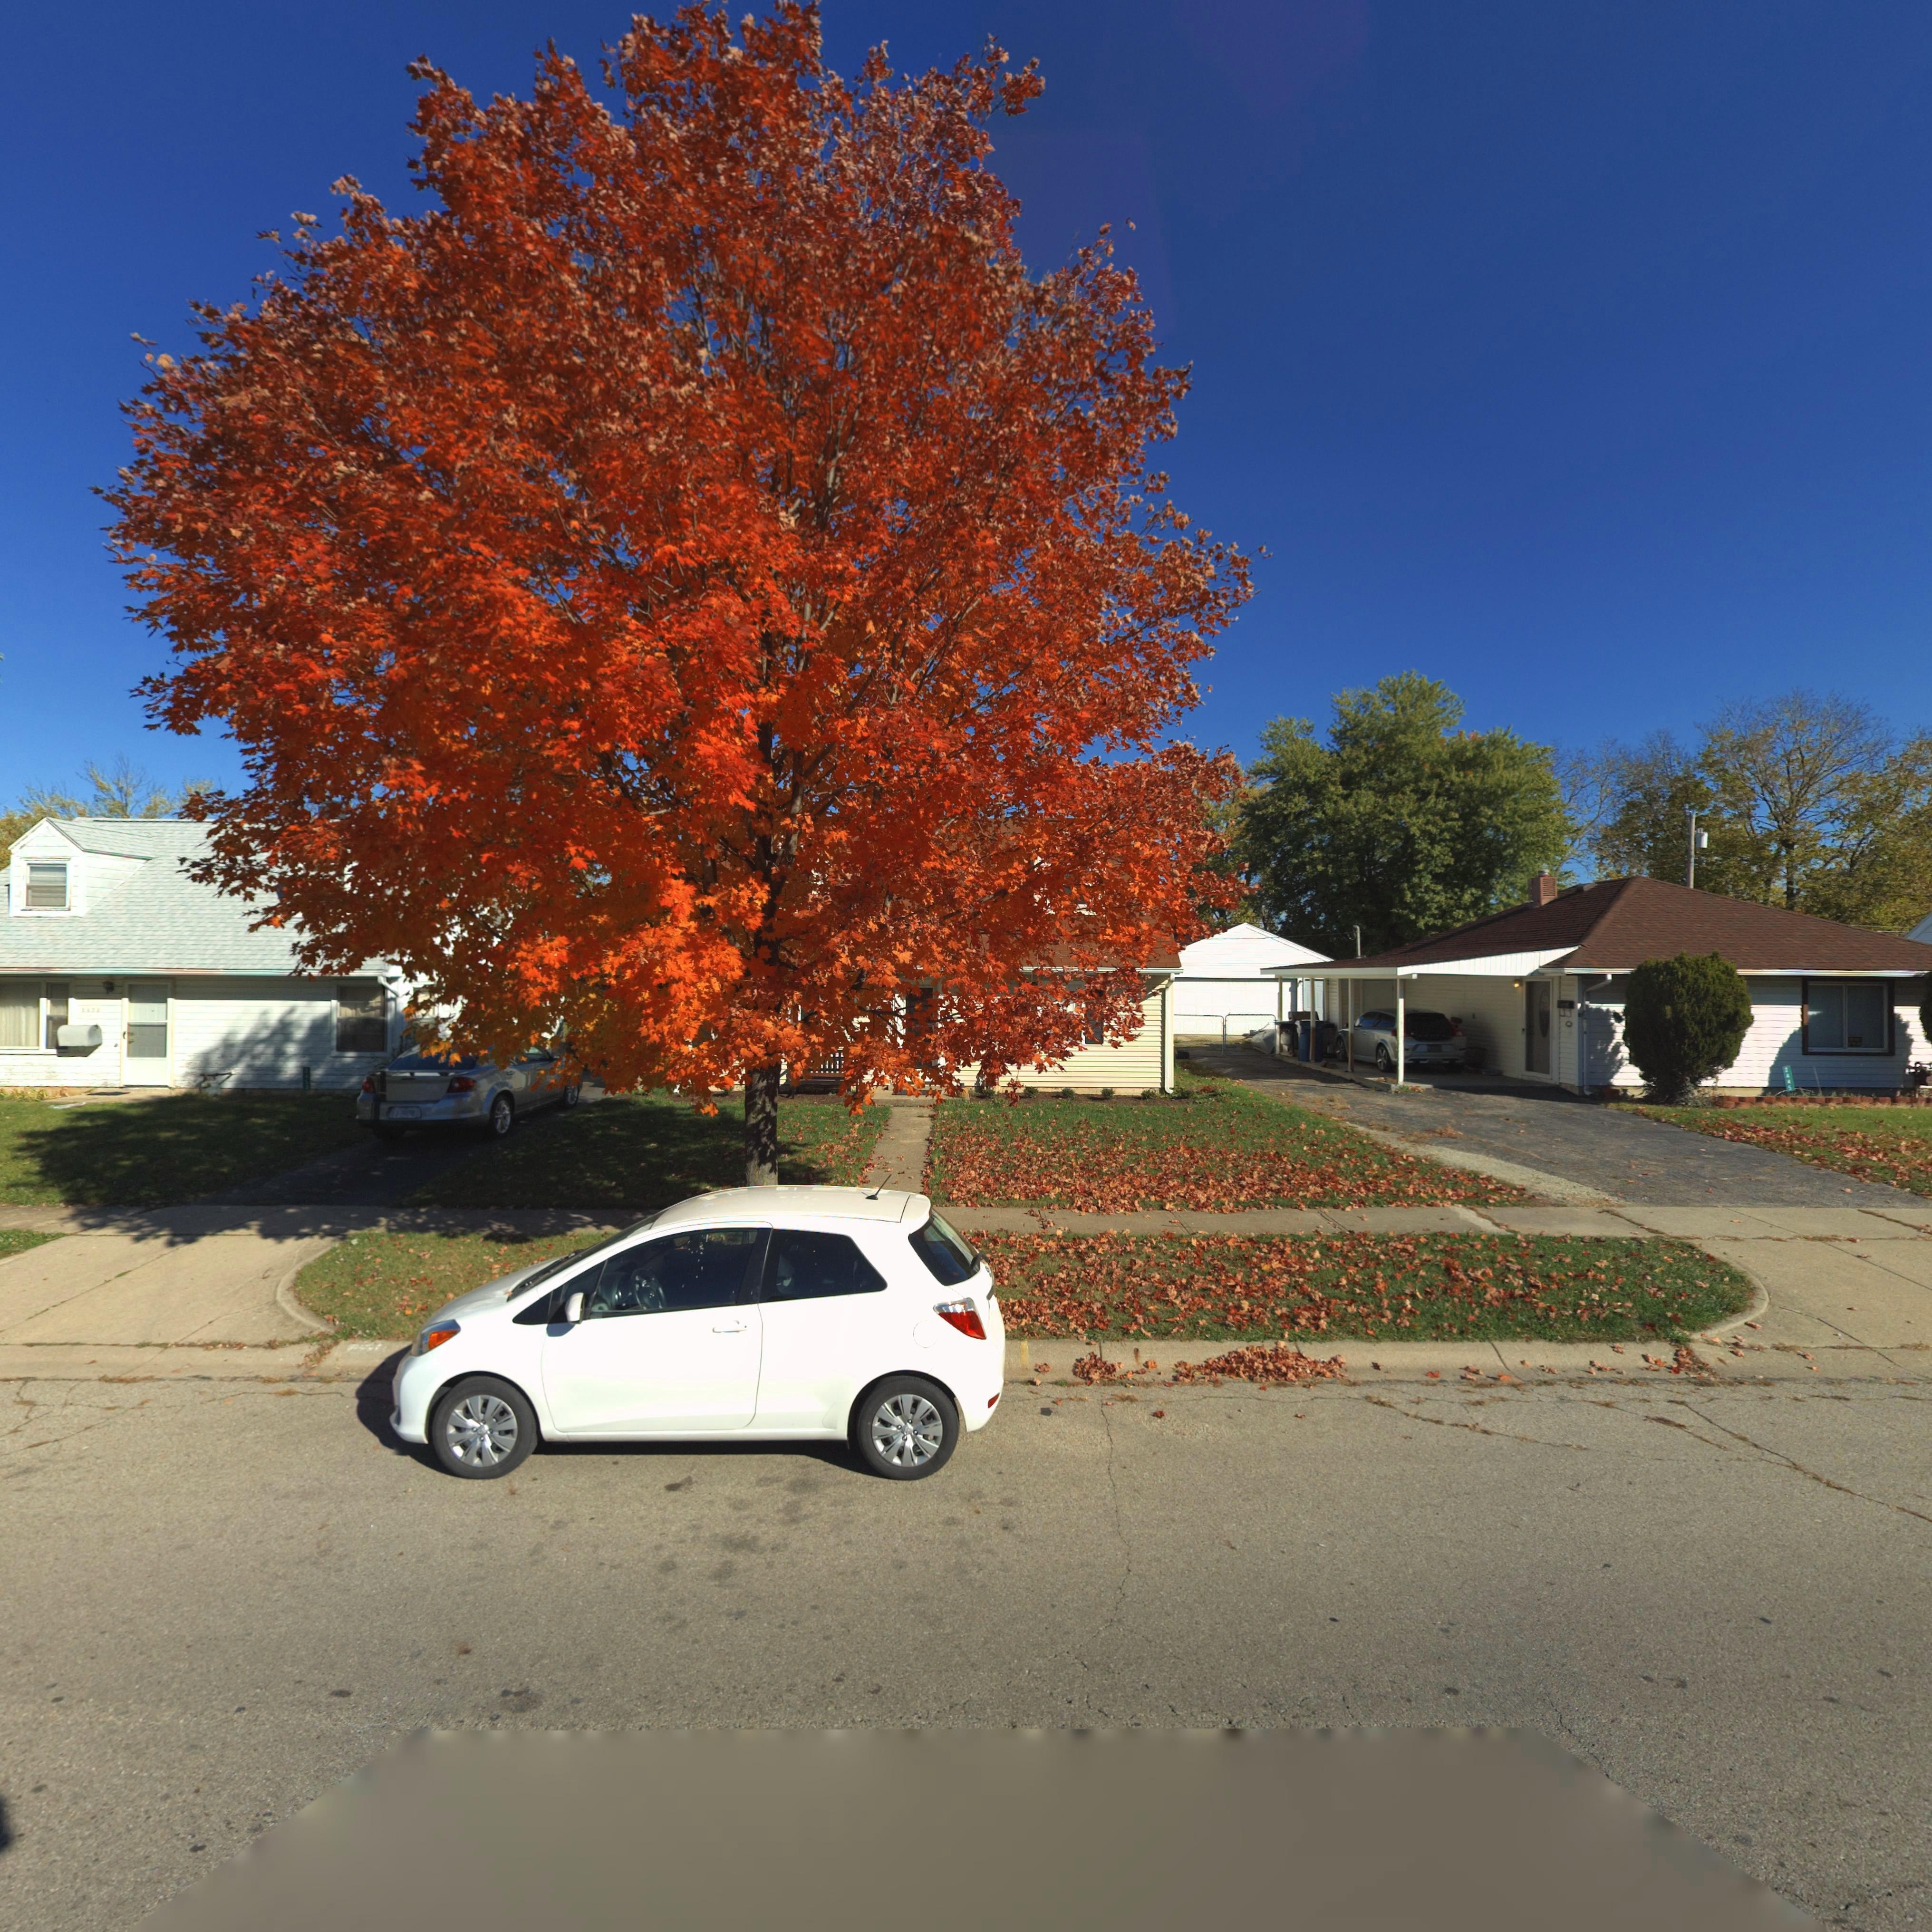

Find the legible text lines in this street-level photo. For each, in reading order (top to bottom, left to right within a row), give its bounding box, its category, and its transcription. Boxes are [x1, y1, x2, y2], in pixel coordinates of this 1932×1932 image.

[1783, 1066, 1794, 1092] StreetNumber: 2445